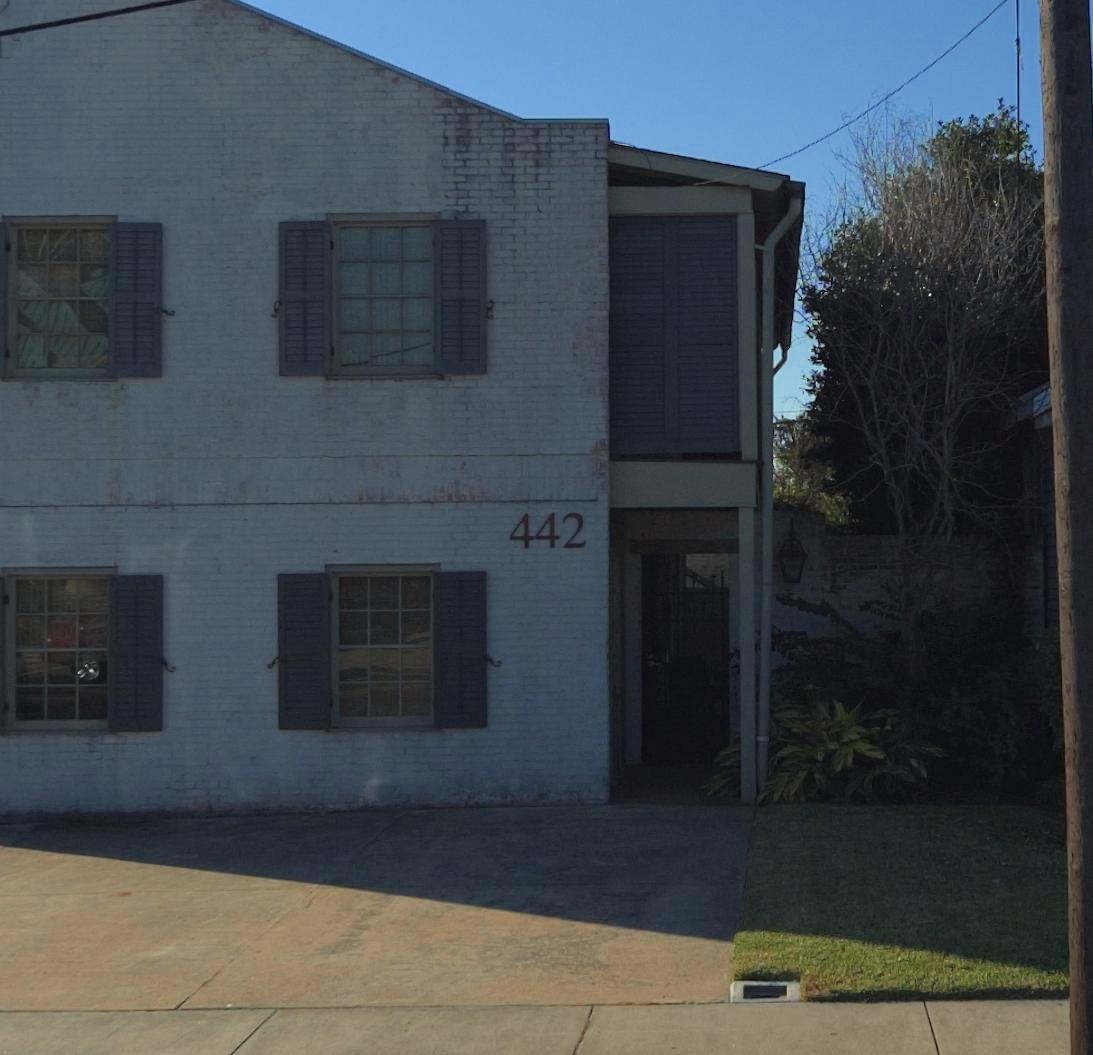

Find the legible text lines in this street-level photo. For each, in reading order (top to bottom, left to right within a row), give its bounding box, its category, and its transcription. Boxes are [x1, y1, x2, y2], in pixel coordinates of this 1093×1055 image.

[499, 508, 592, 554] StreetNumber: 442